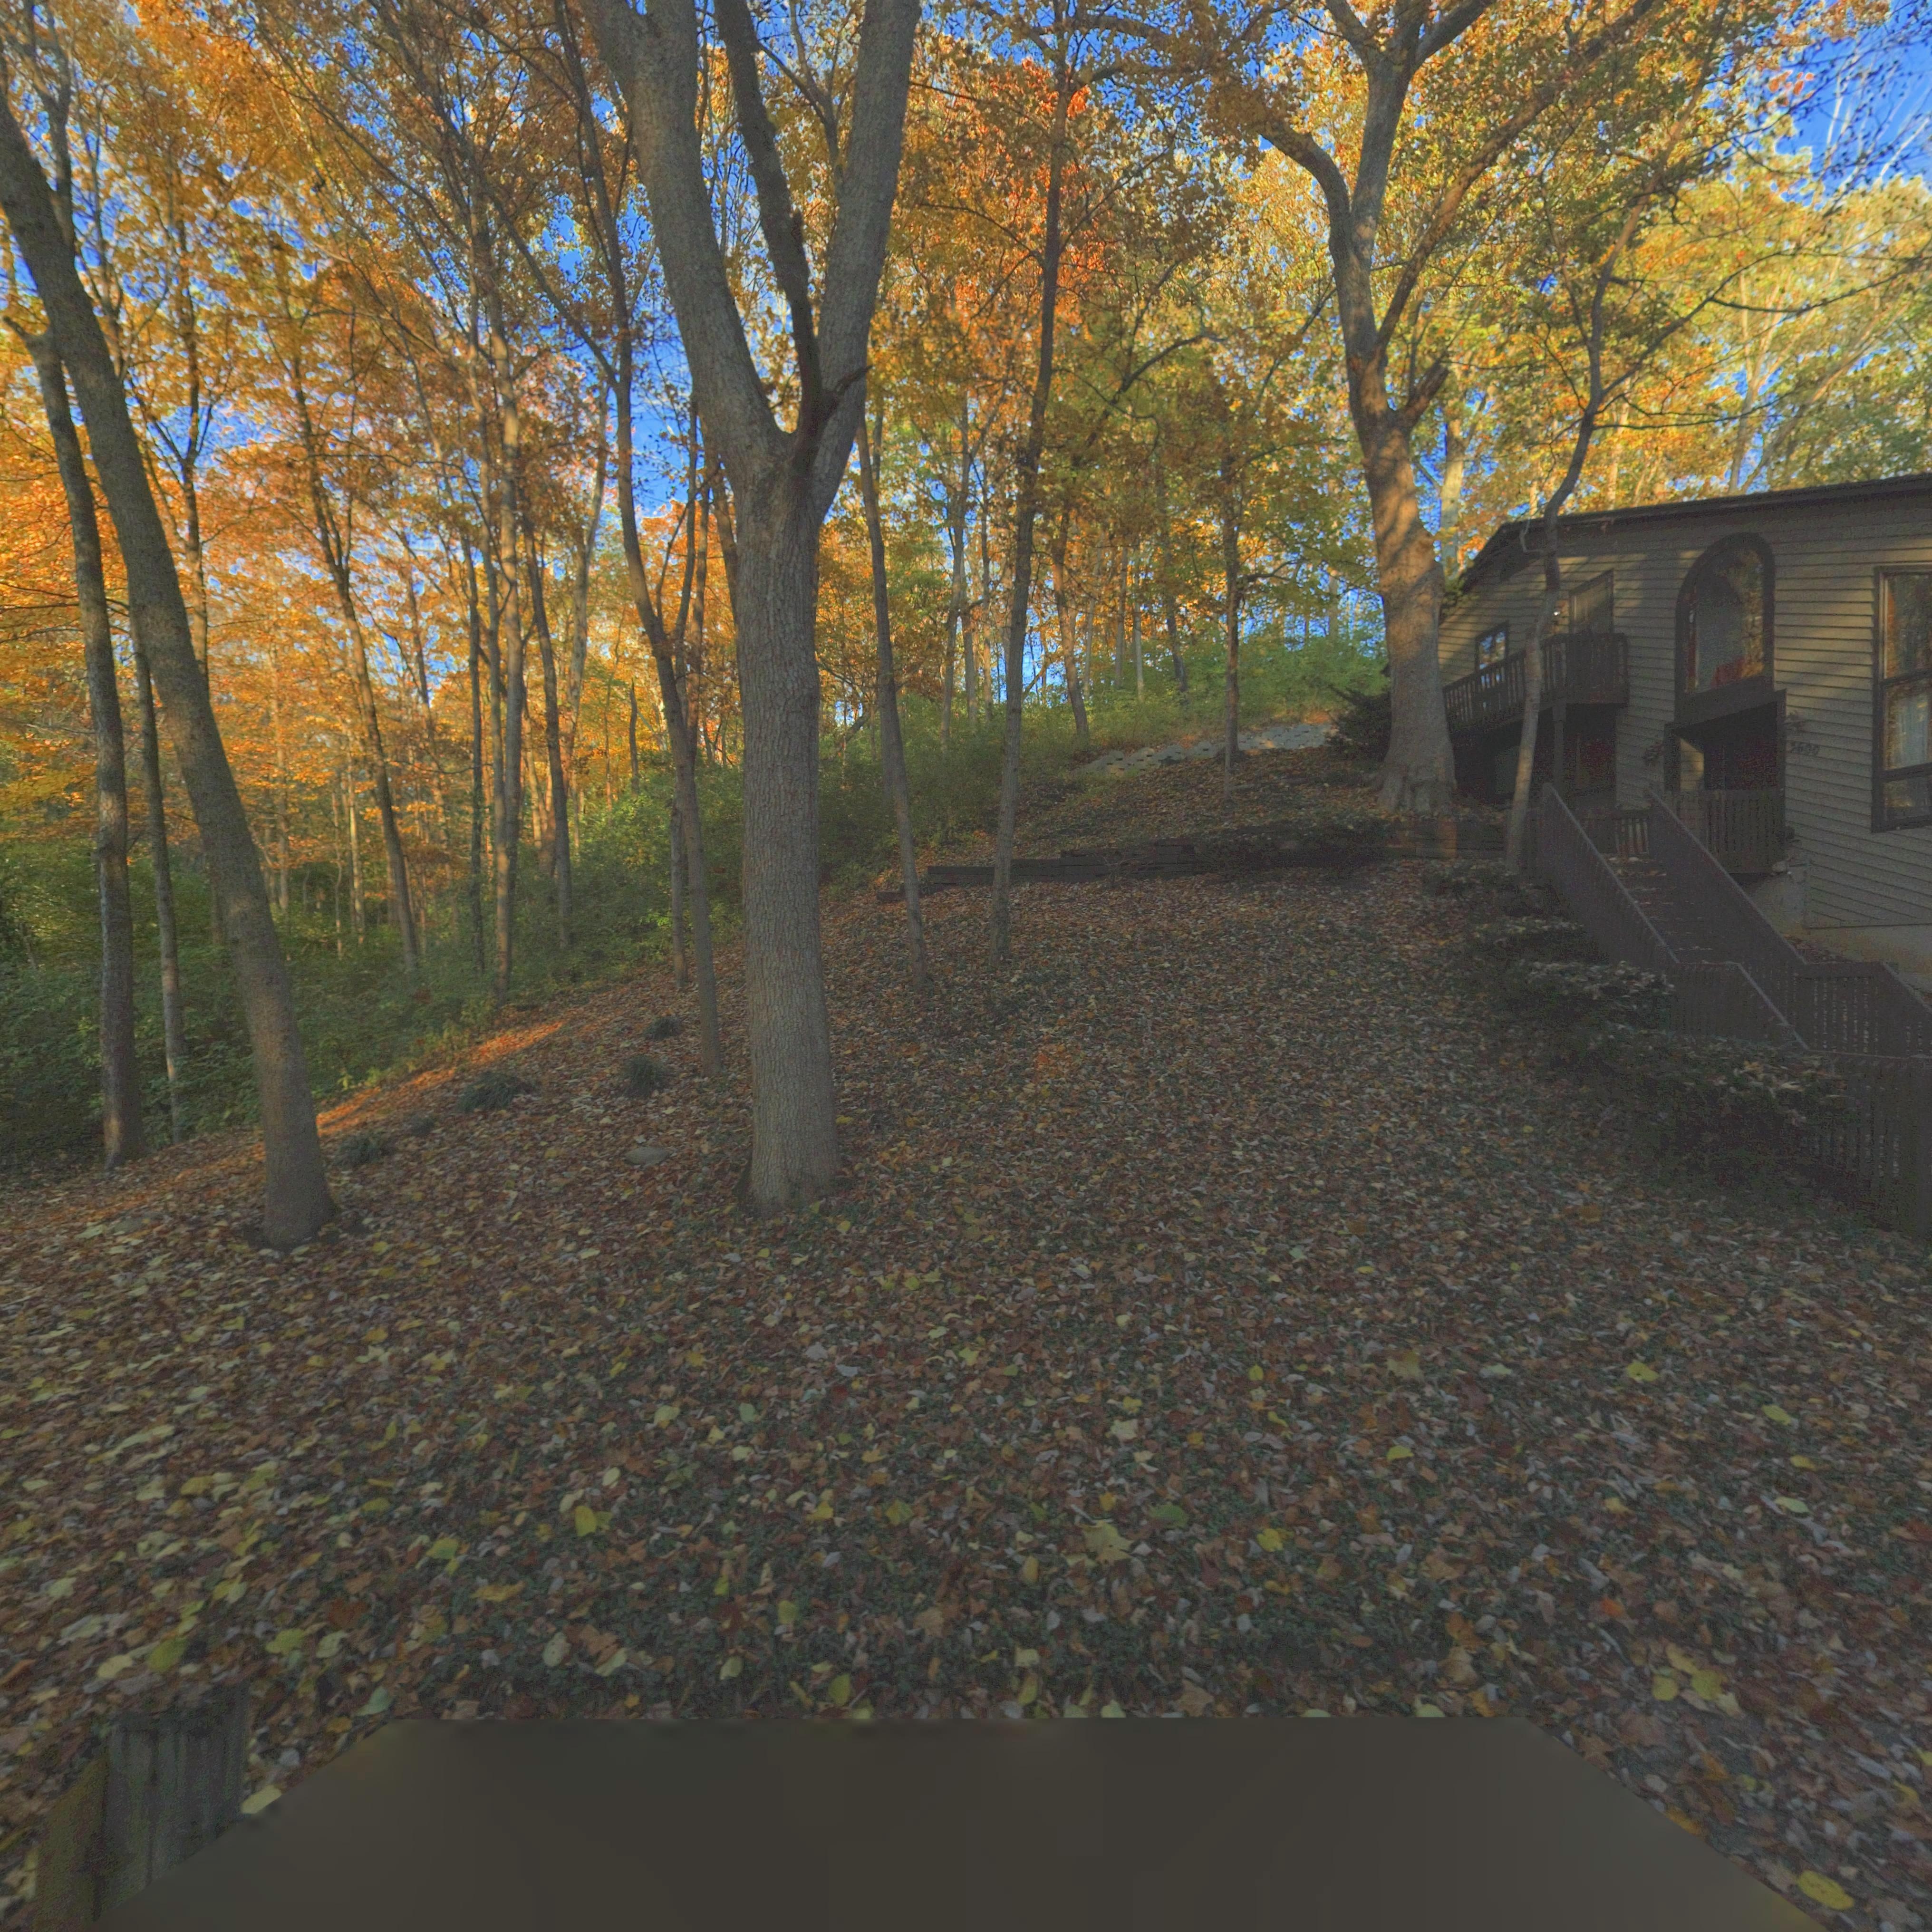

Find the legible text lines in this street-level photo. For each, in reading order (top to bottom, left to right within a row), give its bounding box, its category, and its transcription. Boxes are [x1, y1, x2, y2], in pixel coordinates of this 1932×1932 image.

[1787, 738, 1820, 758] StreetNumber: 3600